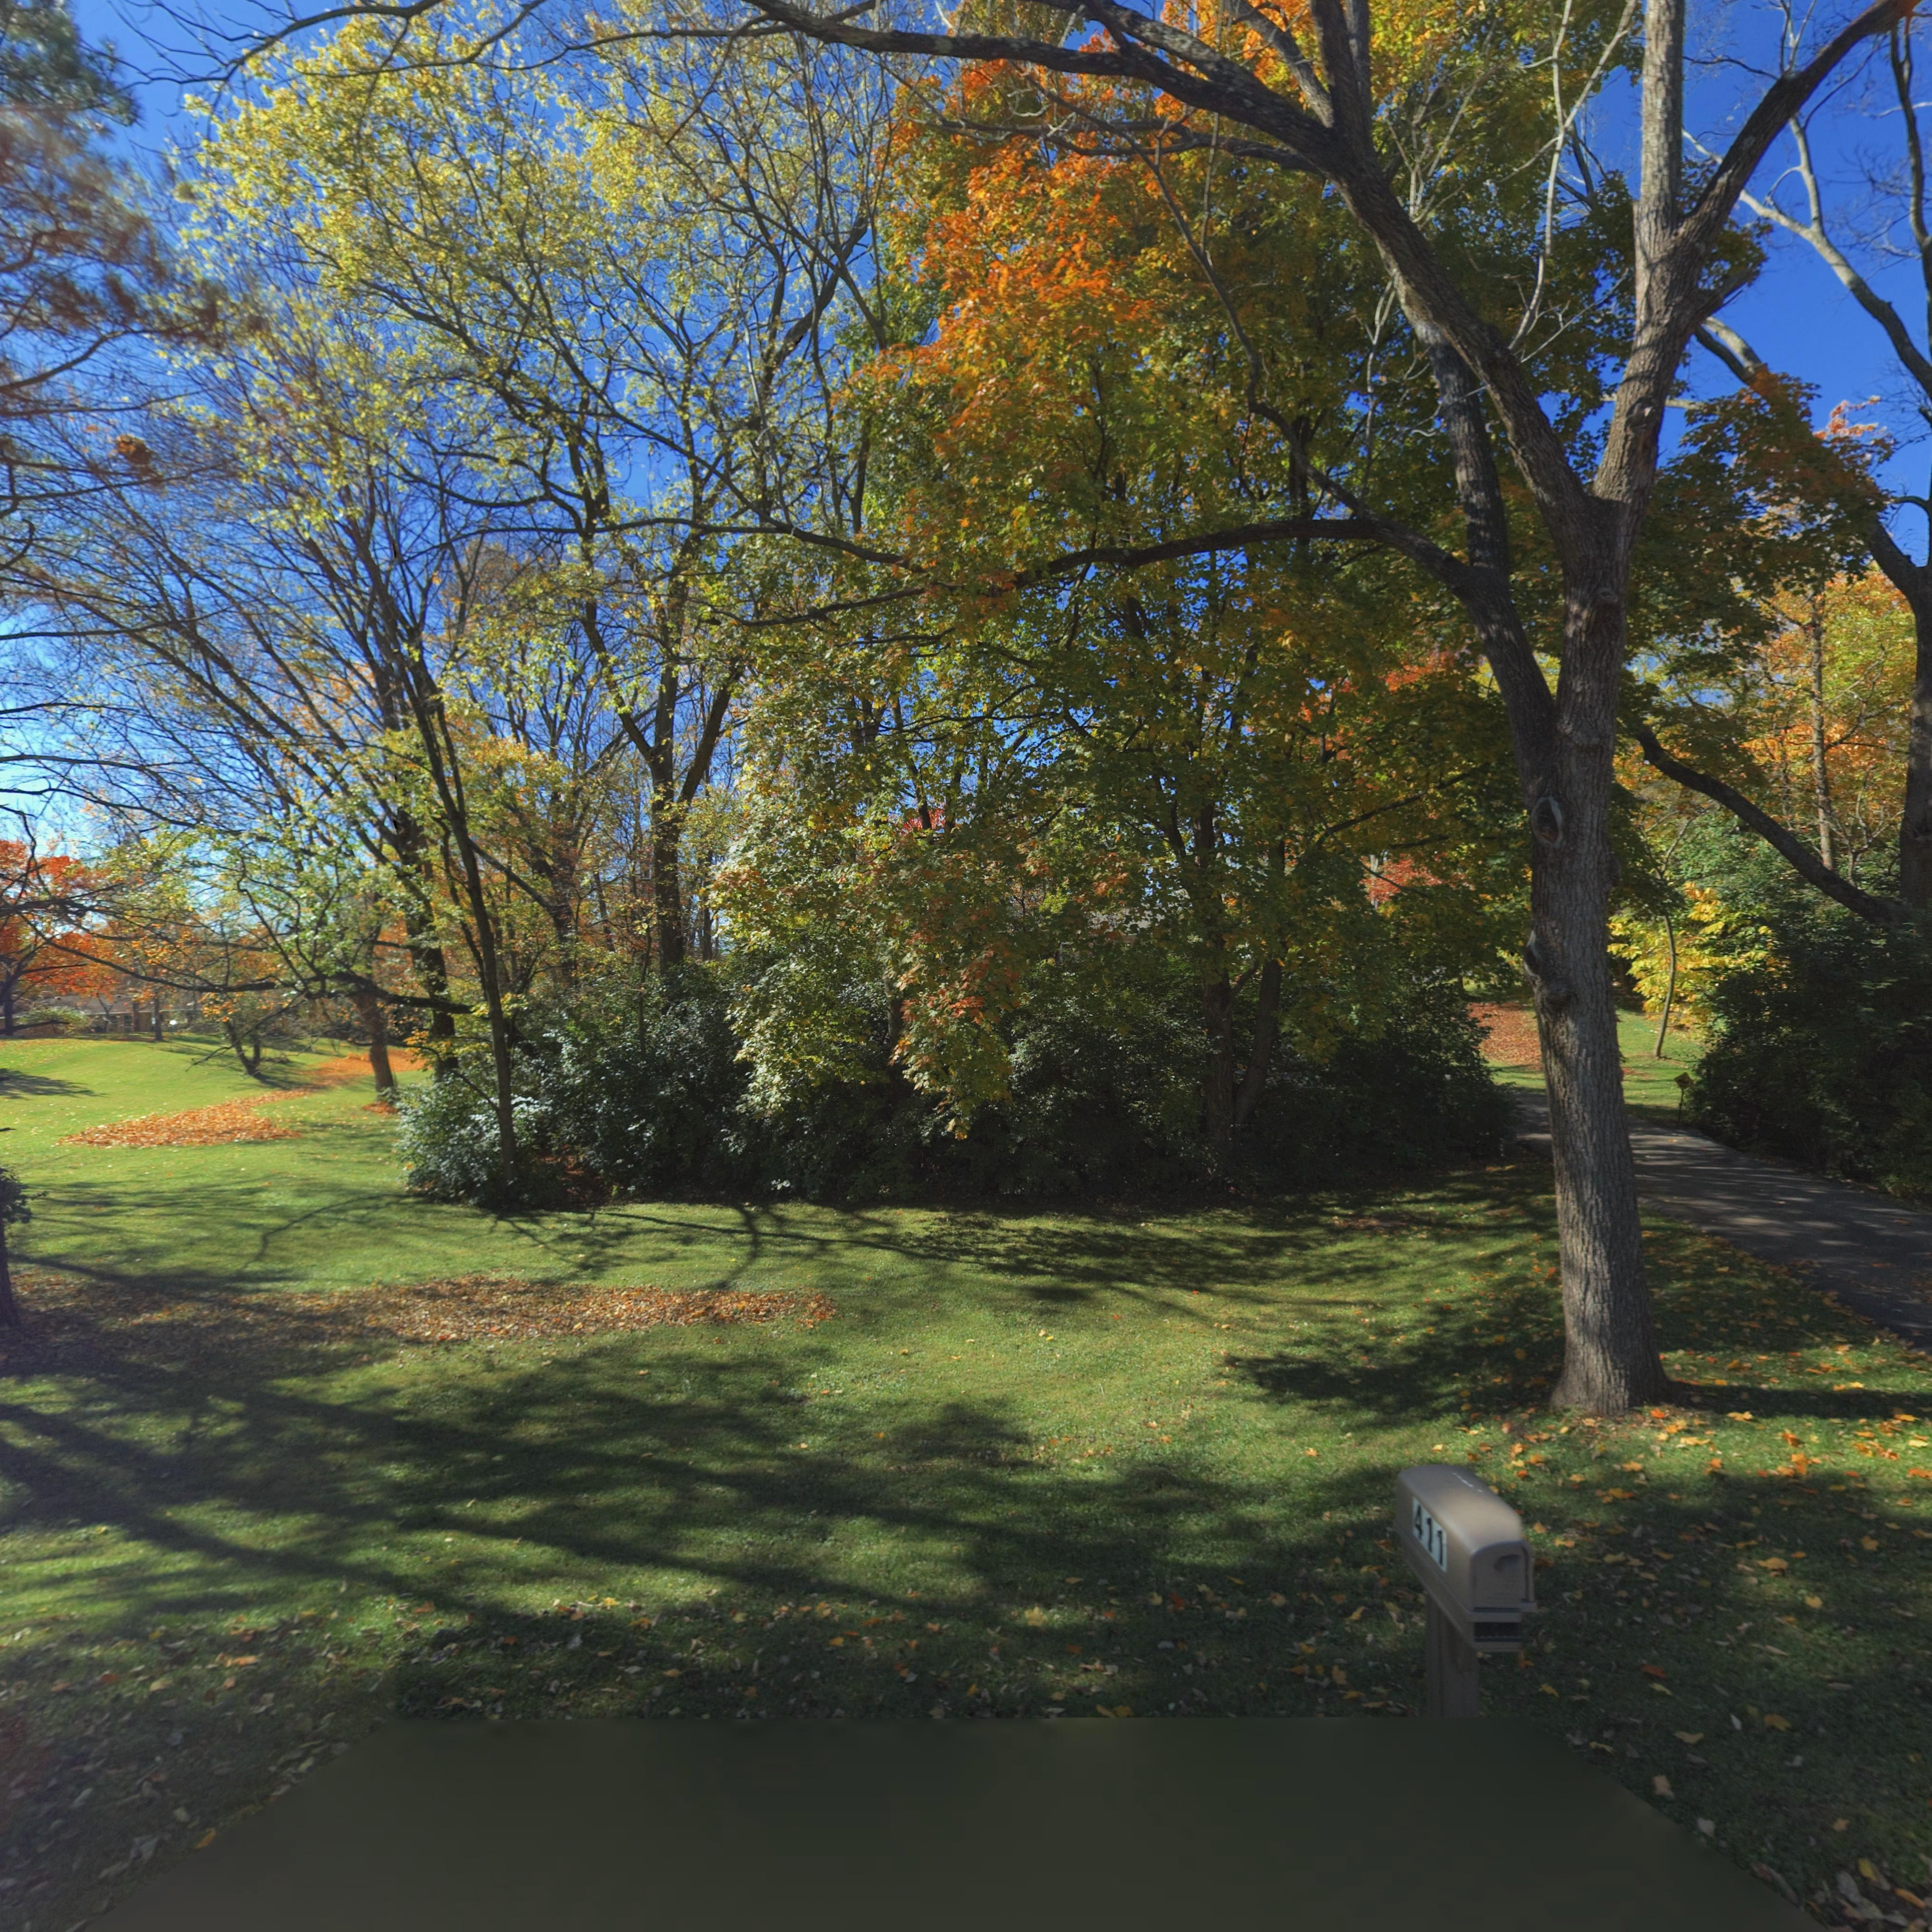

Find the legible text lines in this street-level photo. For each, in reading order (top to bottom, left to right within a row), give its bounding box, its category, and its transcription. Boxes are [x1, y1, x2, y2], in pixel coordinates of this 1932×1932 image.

[1412, 1498, 1445, 1570] StreetNumber: 411